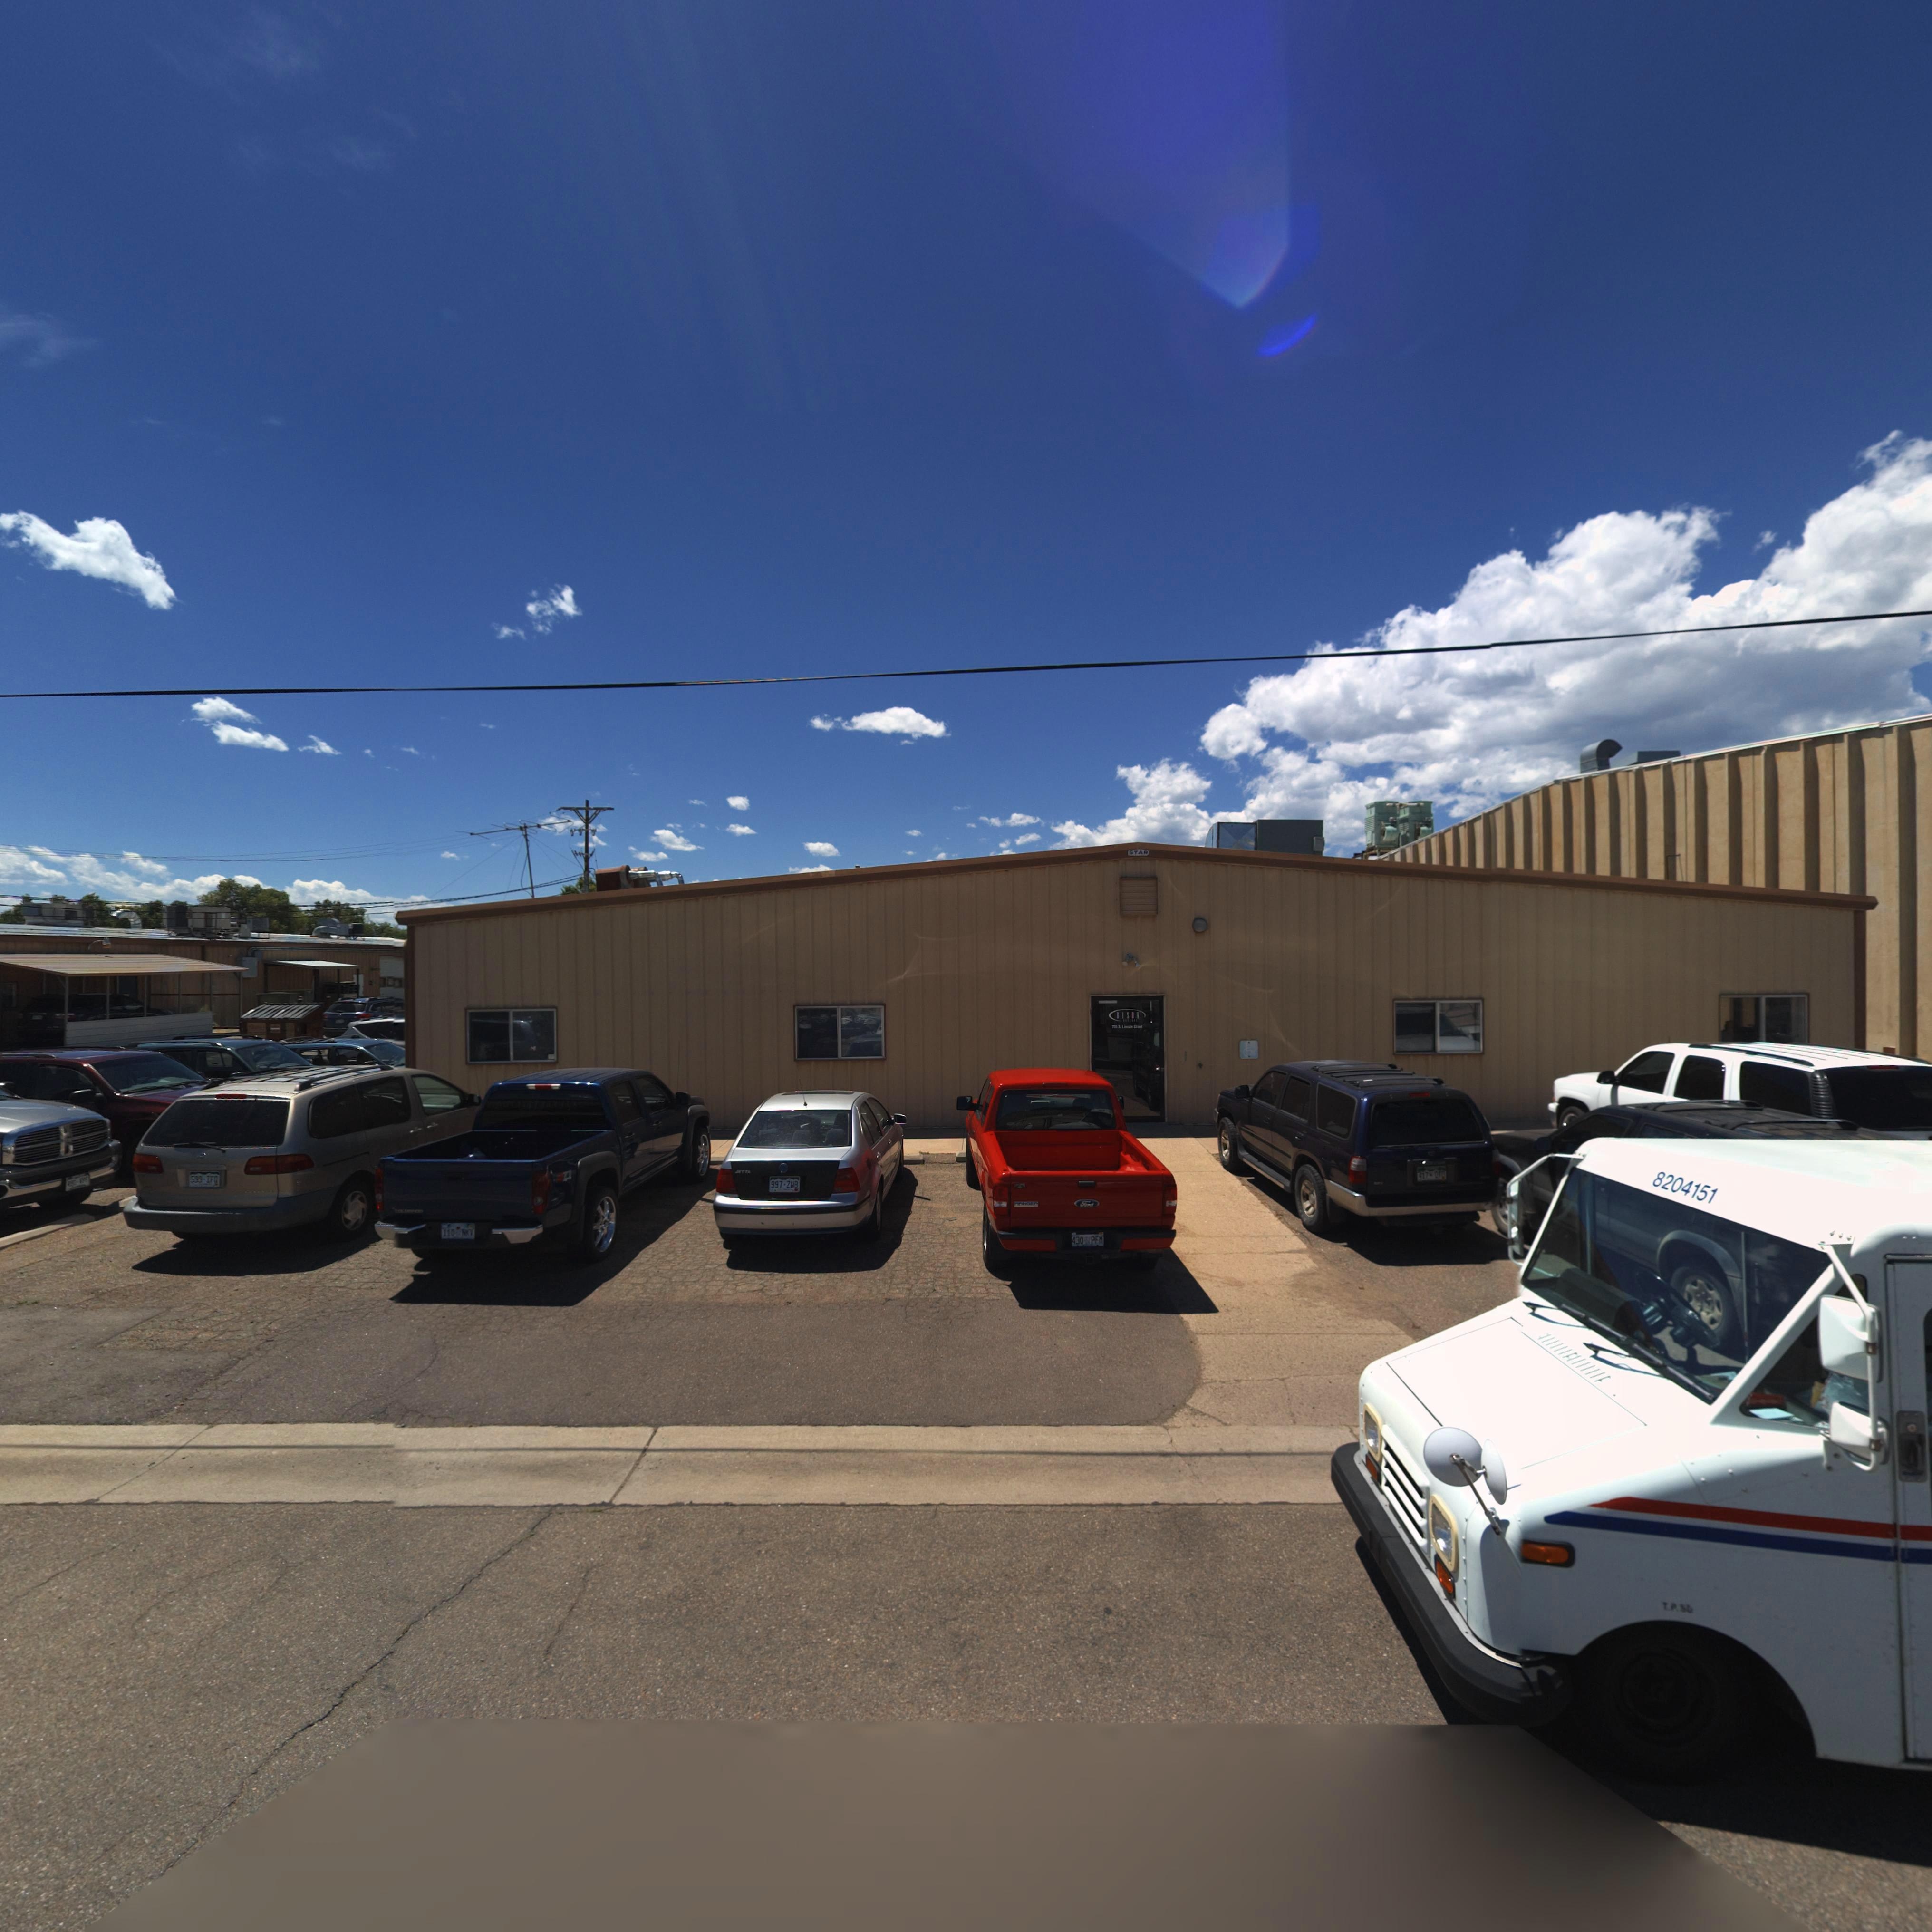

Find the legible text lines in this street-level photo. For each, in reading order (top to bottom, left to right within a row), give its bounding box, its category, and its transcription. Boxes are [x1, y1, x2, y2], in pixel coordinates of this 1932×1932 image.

[1116, 1011, 1139, 1019] BusinessName: BISON
[1111, 1025, 1117, 1029] StreetNumber: 7*5
[1118, 1024, 1142, 1028] StreetName: S. L*nc*ln ***d